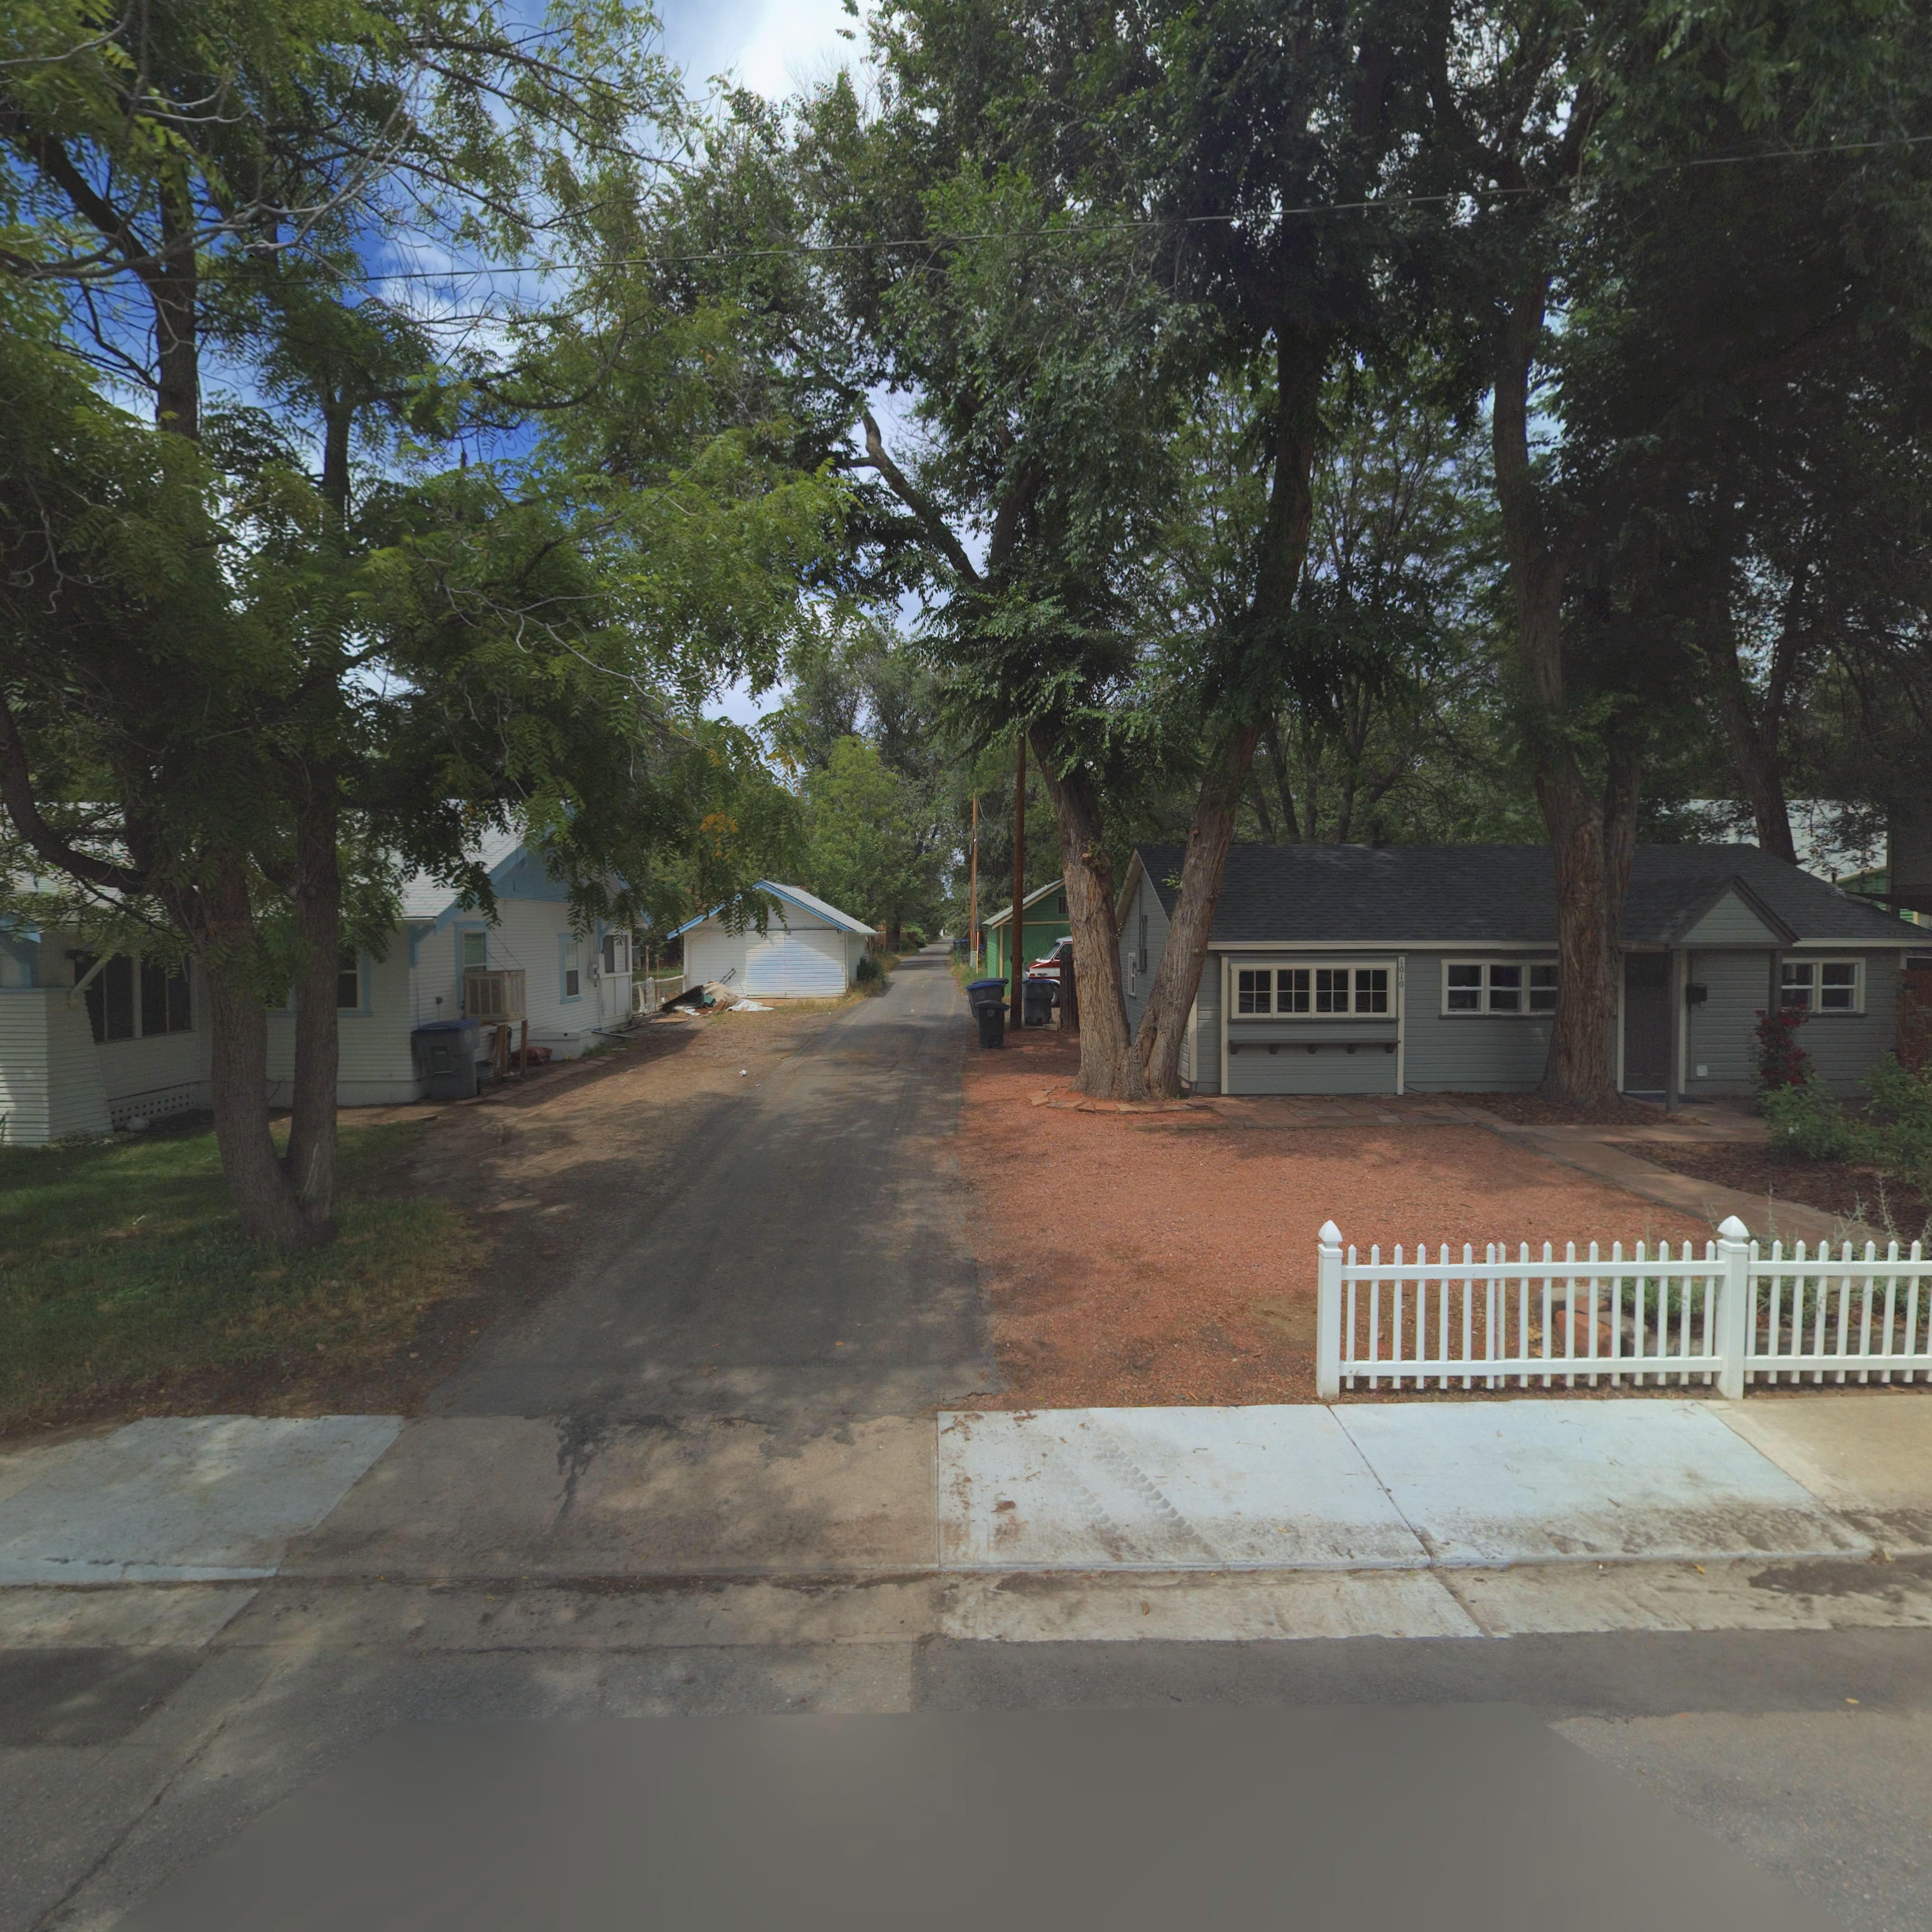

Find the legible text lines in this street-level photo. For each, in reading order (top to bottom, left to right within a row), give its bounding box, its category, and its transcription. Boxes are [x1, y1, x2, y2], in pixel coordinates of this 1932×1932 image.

[1398, 958, 1404, 988] StreetNumber: 1010